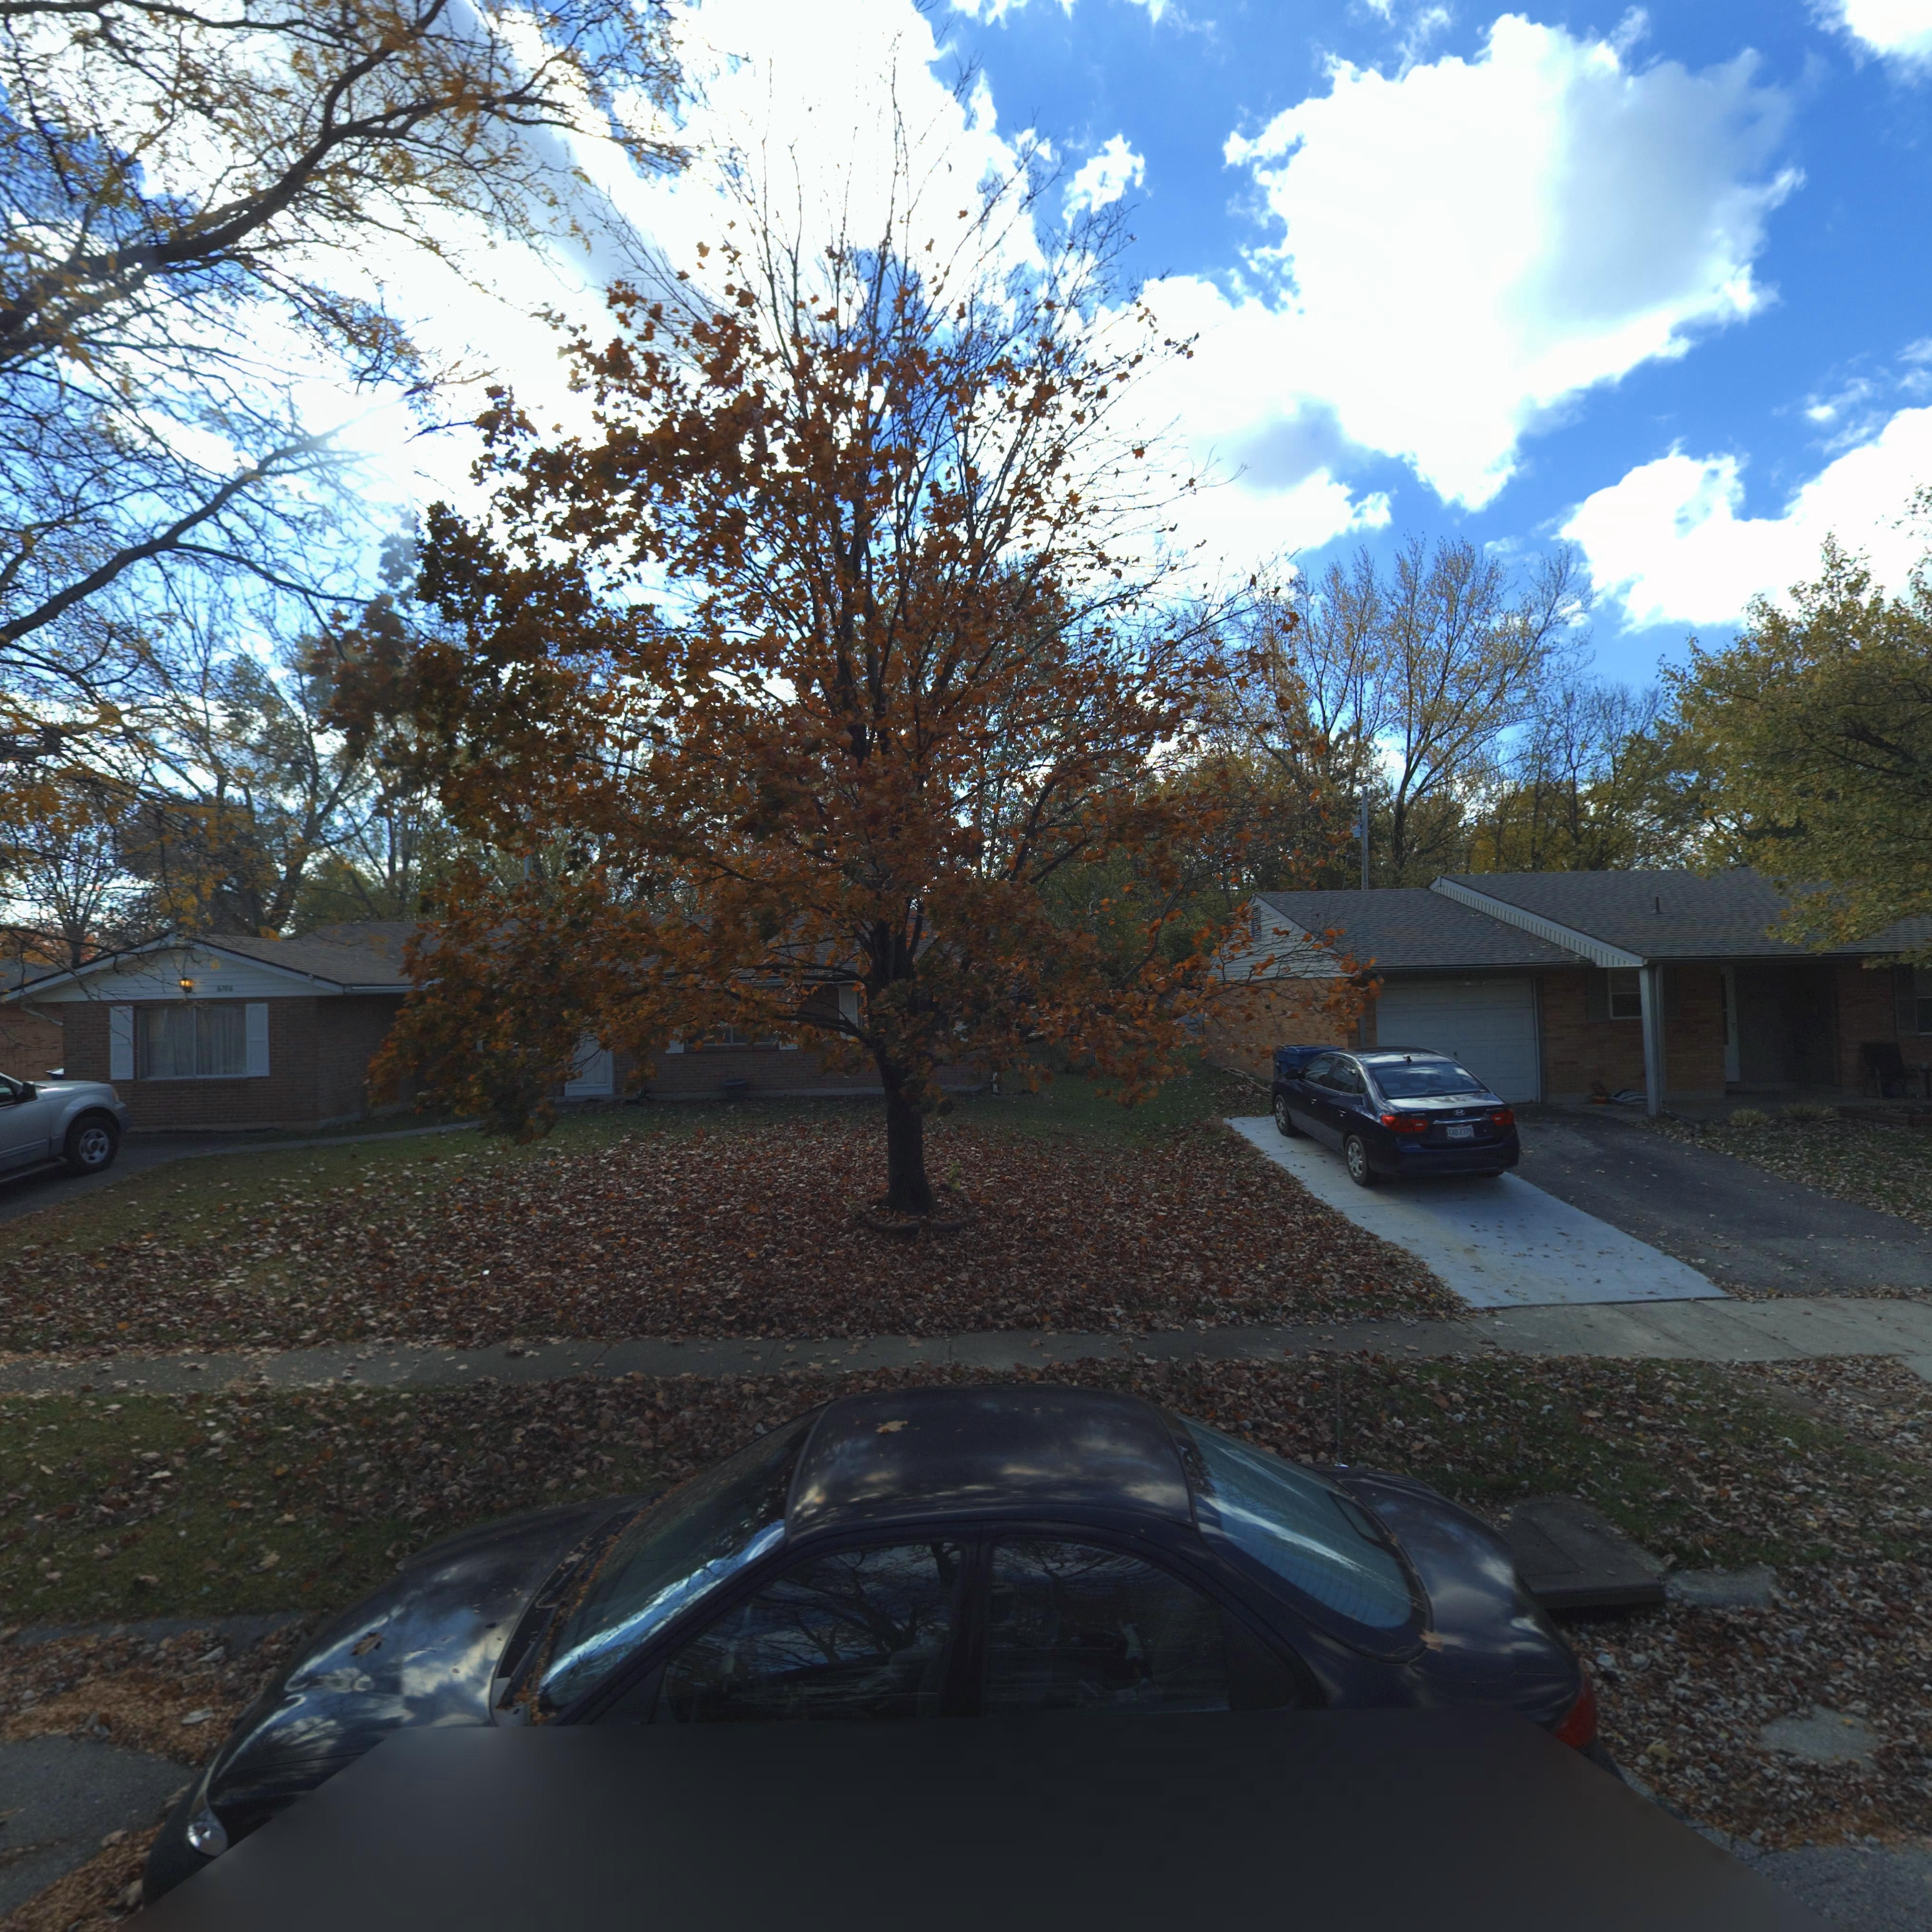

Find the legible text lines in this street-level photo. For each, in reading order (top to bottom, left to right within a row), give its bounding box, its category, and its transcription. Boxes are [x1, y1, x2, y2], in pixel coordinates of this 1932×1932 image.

[217, 984, 233, 992] StreetNumber: 6*66
[1749, 991, 1776, 1000] StreetNumber: 6*5*